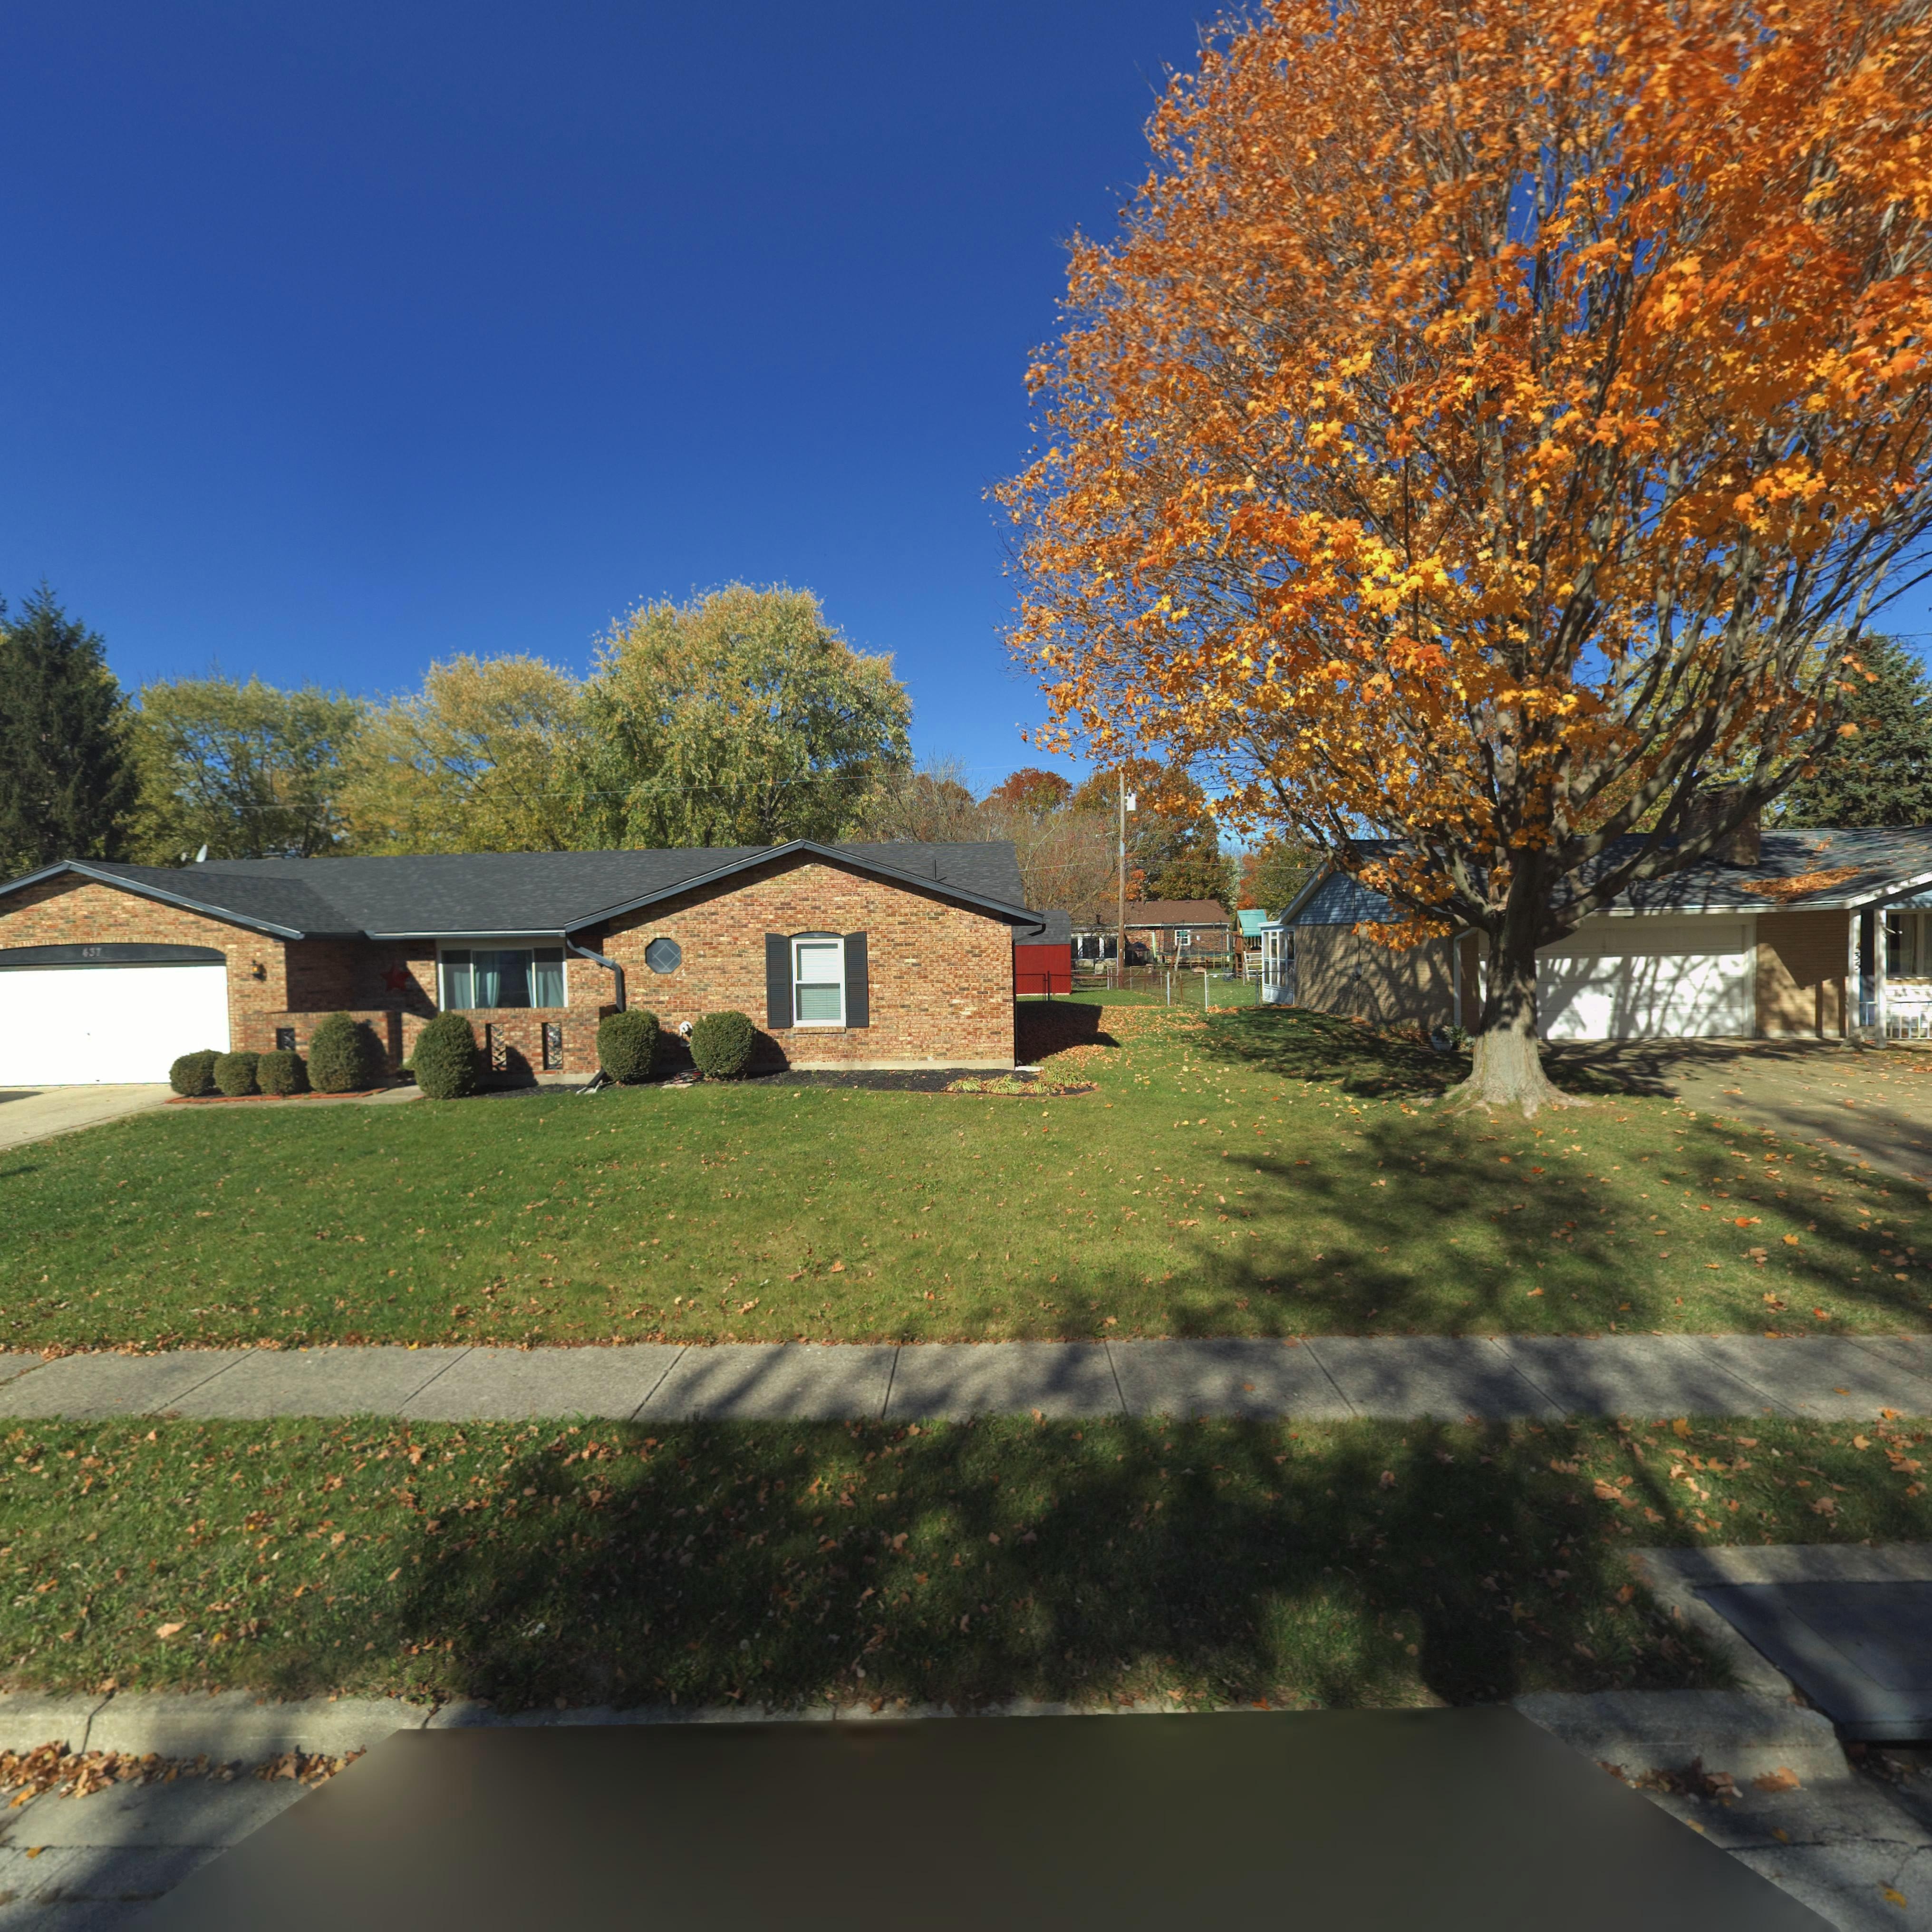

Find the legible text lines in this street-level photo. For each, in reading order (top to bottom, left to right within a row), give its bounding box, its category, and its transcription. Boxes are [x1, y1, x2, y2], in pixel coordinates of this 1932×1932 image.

[81, 946, 103, 959] StreetNumber: *37
[1853, 941, 1862, 972] StreetNumber: *35